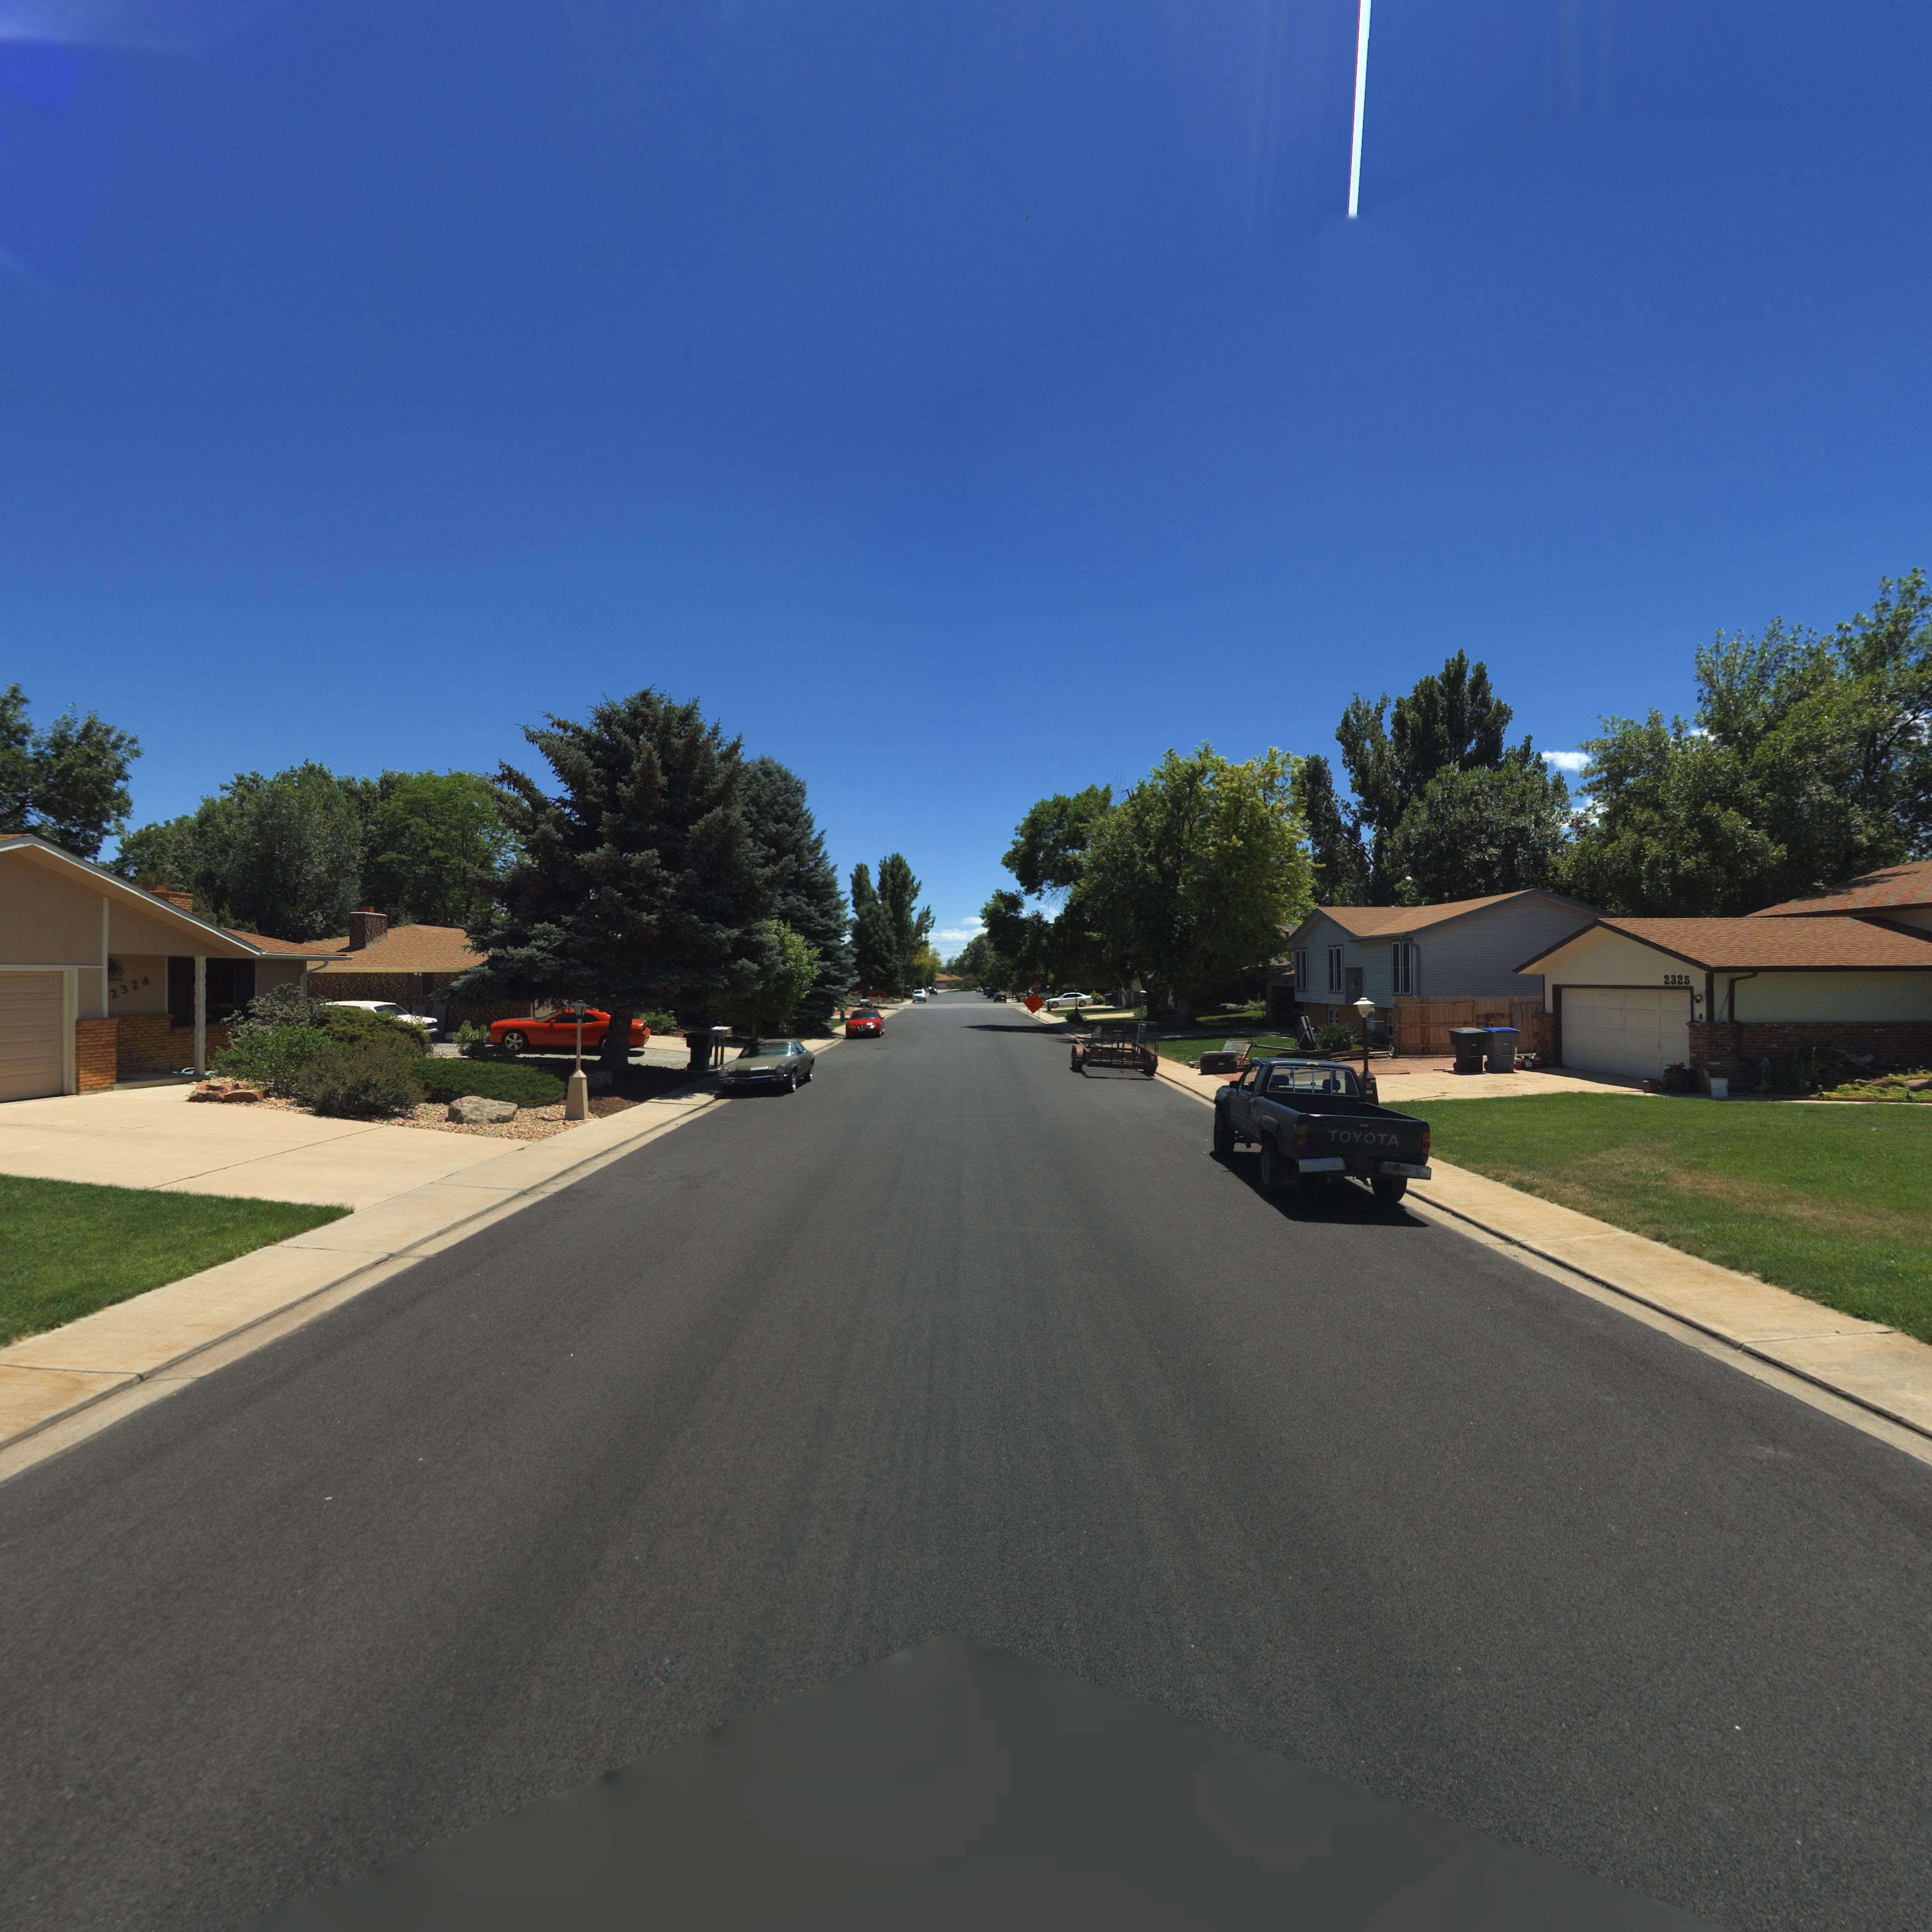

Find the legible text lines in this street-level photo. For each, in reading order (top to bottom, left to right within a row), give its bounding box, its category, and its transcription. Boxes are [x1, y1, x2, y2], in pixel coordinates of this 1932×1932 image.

[109, 975, 150, 999] StreetNumber: 2324
[1663, 974, 1690, 985] StreetNumber: 2325